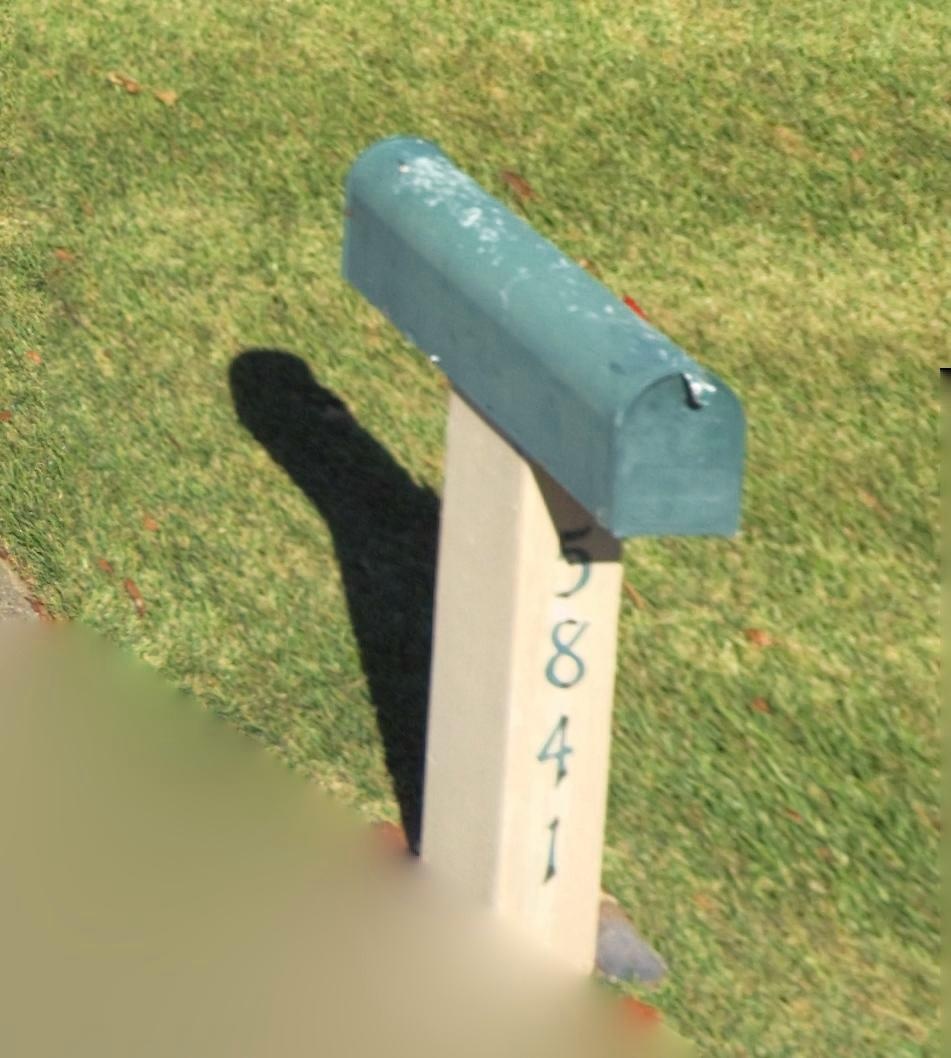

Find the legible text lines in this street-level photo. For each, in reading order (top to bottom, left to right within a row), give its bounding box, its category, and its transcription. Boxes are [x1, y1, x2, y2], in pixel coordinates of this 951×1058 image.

[515, 511, 602, 906] StreetNumber: 5841